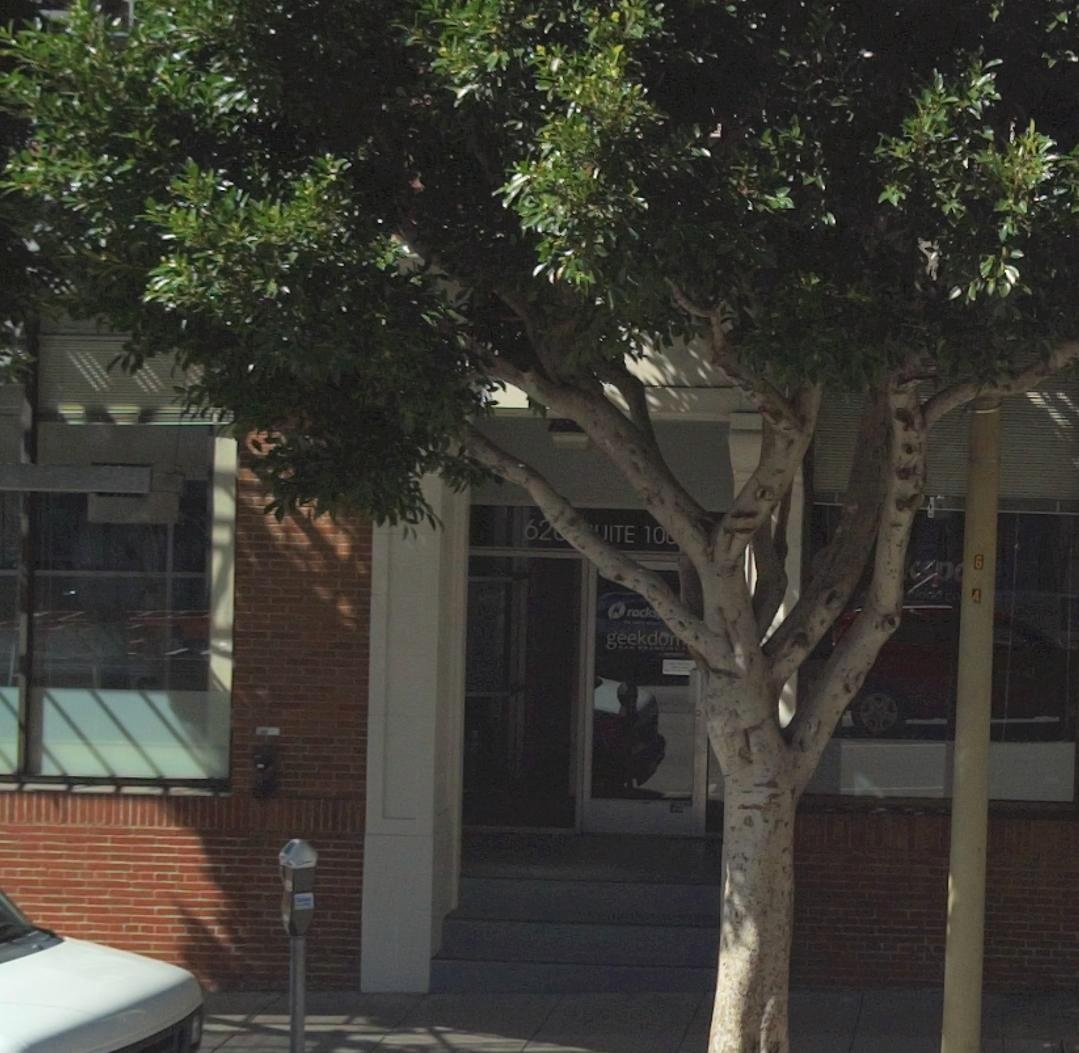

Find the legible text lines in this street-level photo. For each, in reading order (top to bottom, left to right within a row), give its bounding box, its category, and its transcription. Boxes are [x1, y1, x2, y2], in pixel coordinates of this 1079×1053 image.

[522, 517, 554, 542] StreetNumber: 62
[607, 522, 669, 546] SecondaryUnitDesignator: ITE 10
[927, 556, 958, 594] None: p
[971, 552, 985, 607] None: 64
[604, 627, 671, 654] BusinessName: geekdo